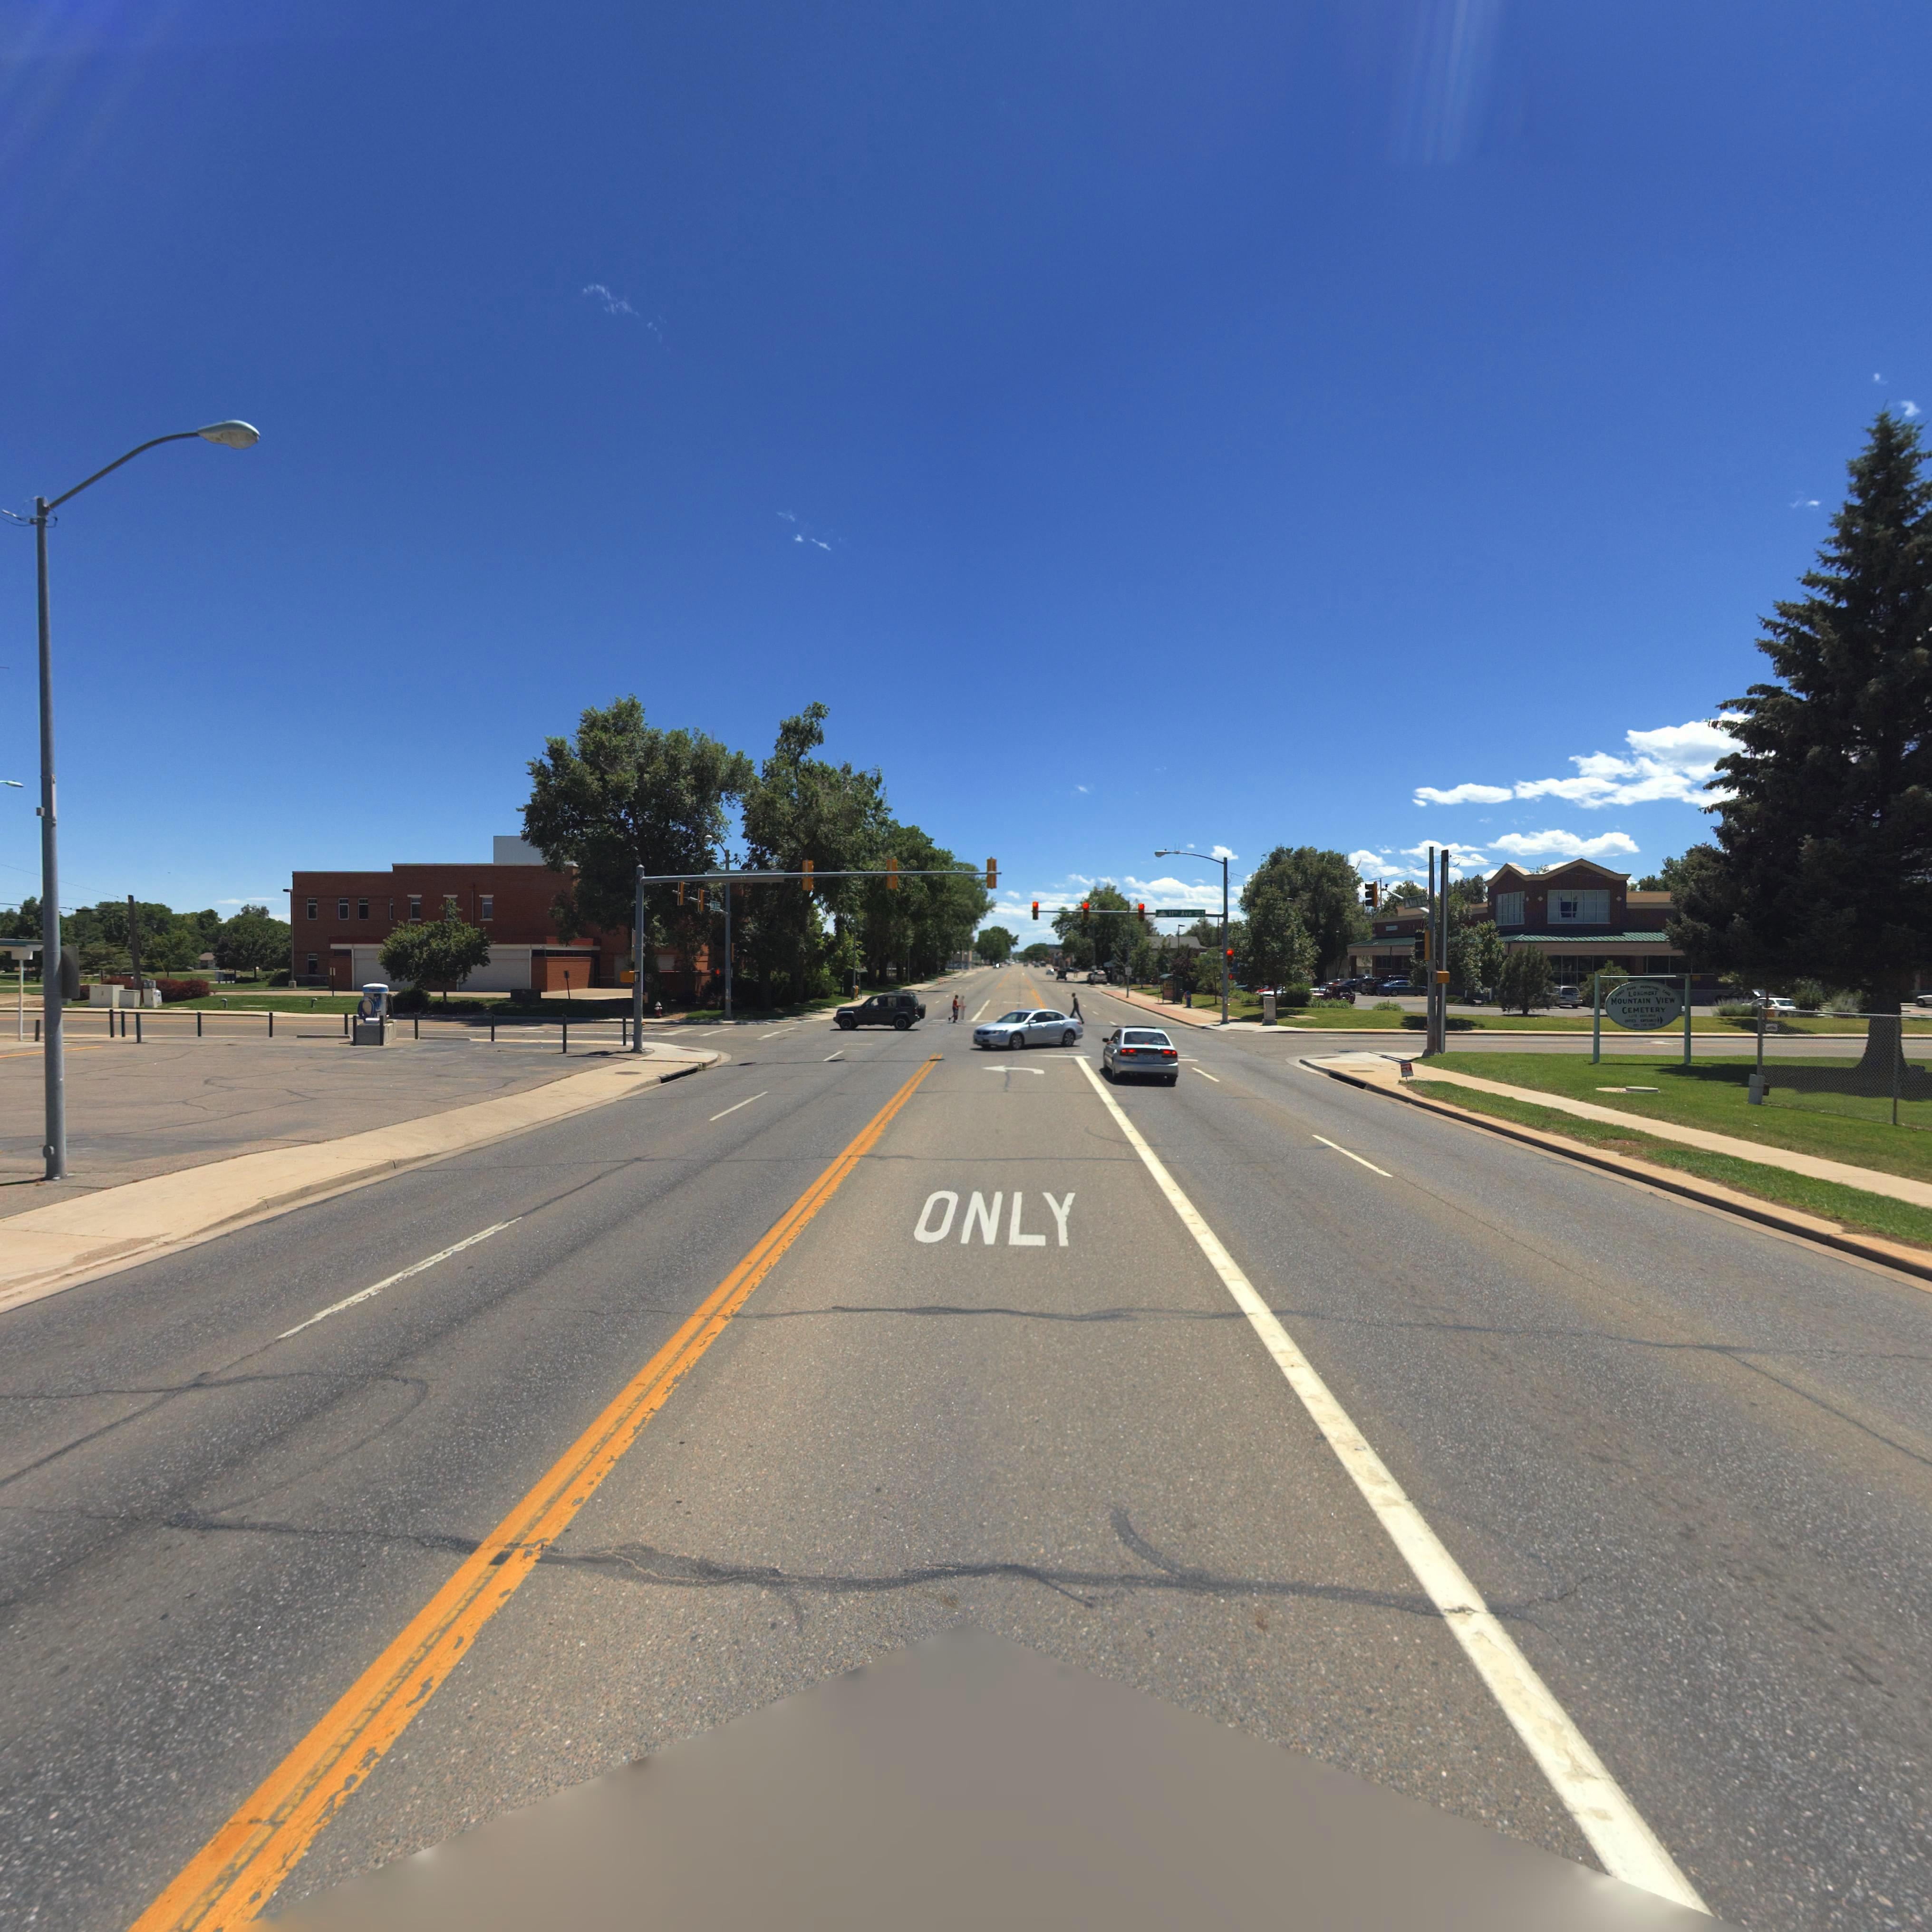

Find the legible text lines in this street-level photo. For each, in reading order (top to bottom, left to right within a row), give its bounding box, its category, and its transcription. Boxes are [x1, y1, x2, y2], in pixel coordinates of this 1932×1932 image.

[1409, 897, 1422, 907] StreetName: Main St
[1169, 910, 1192, 916] StreetName: 11th Ave
[1628, 990, 1658, 997] None: LONGMONT
[1610, 996, 1676, 1005] None: MOUNTAIN VIEW
[1621, 1006, 1667, 1014] None: CEMETERY